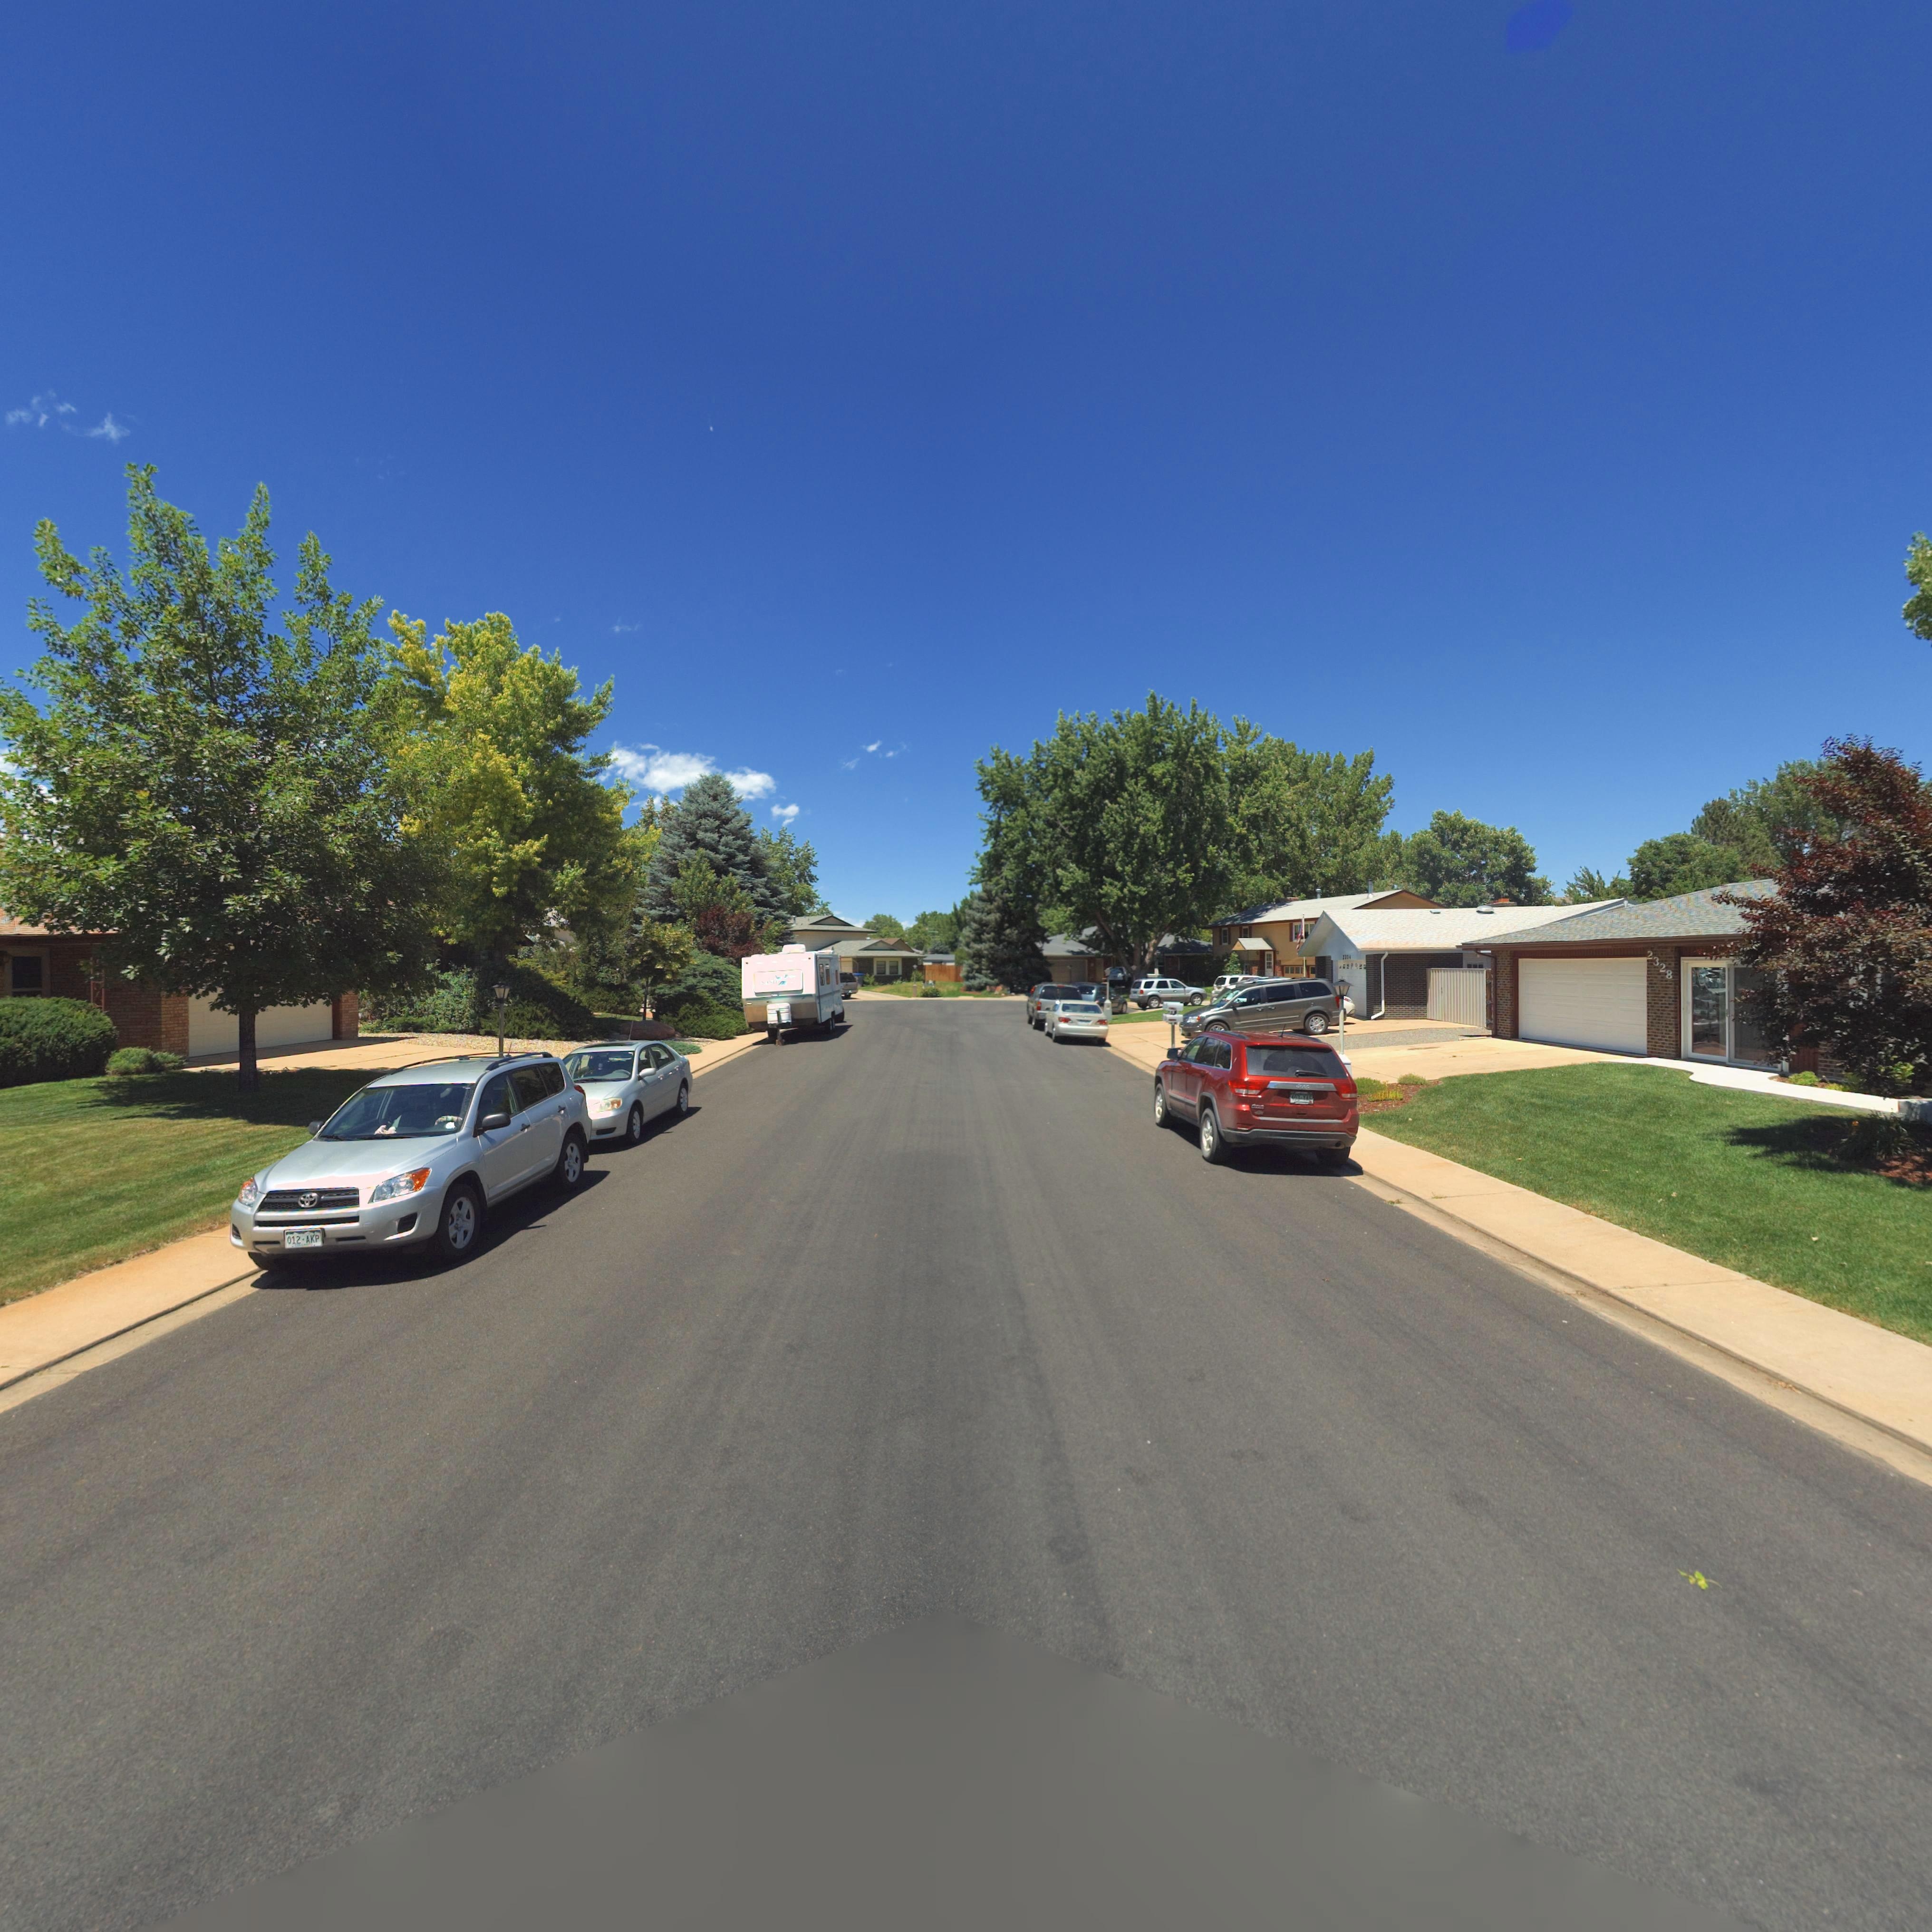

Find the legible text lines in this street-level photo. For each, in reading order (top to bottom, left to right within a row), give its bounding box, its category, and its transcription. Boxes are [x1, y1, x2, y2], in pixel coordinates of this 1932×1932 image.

[1342, 954, 1351, 960] StreetNumber: 23**
[1646, 950, 1672, 979] StreetNumber: 2328